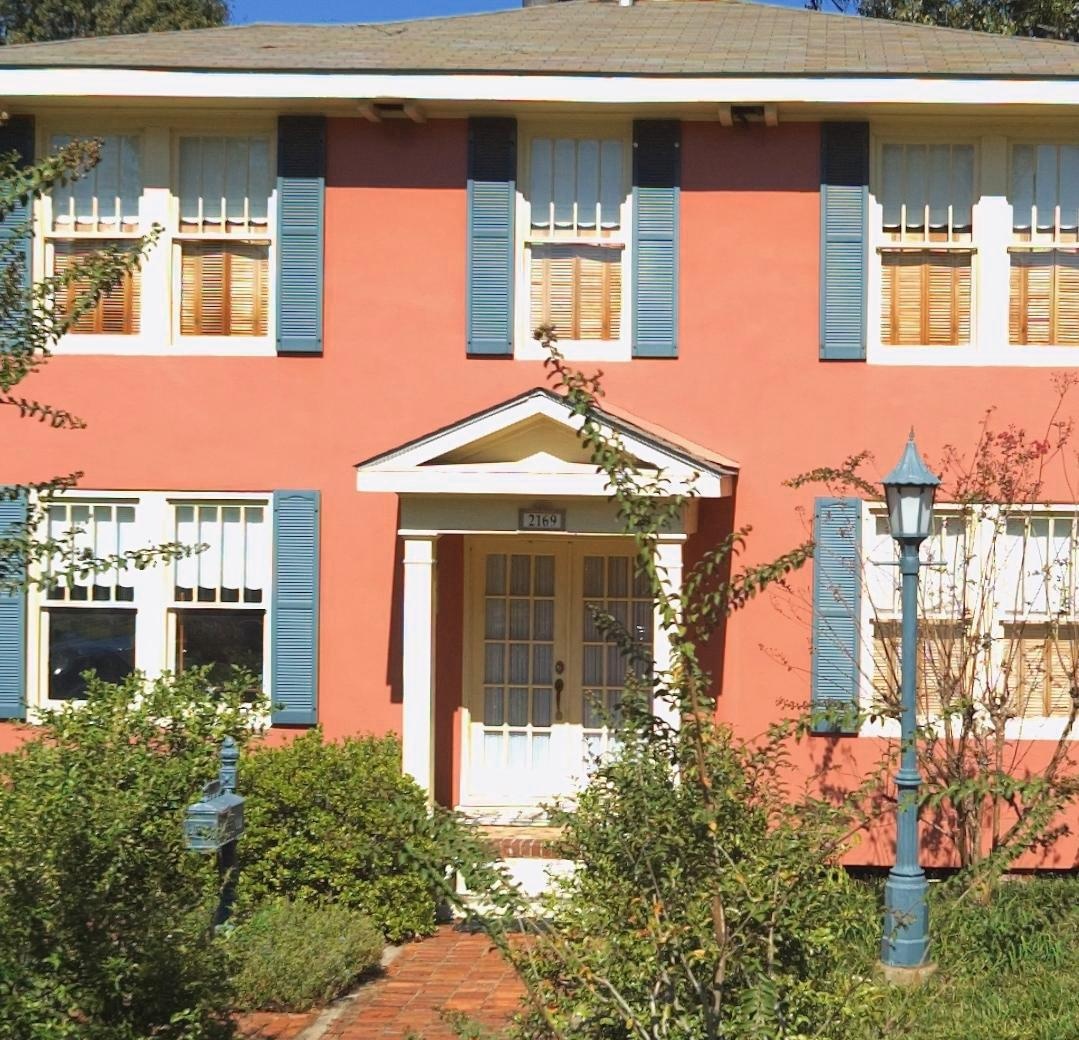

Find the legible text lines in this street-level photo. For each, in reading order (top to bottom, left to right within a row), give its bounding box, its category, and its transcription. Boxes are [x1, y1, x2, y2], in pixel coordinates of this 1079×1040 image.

[526, 512, 560, 529] StreetNumber: 2169